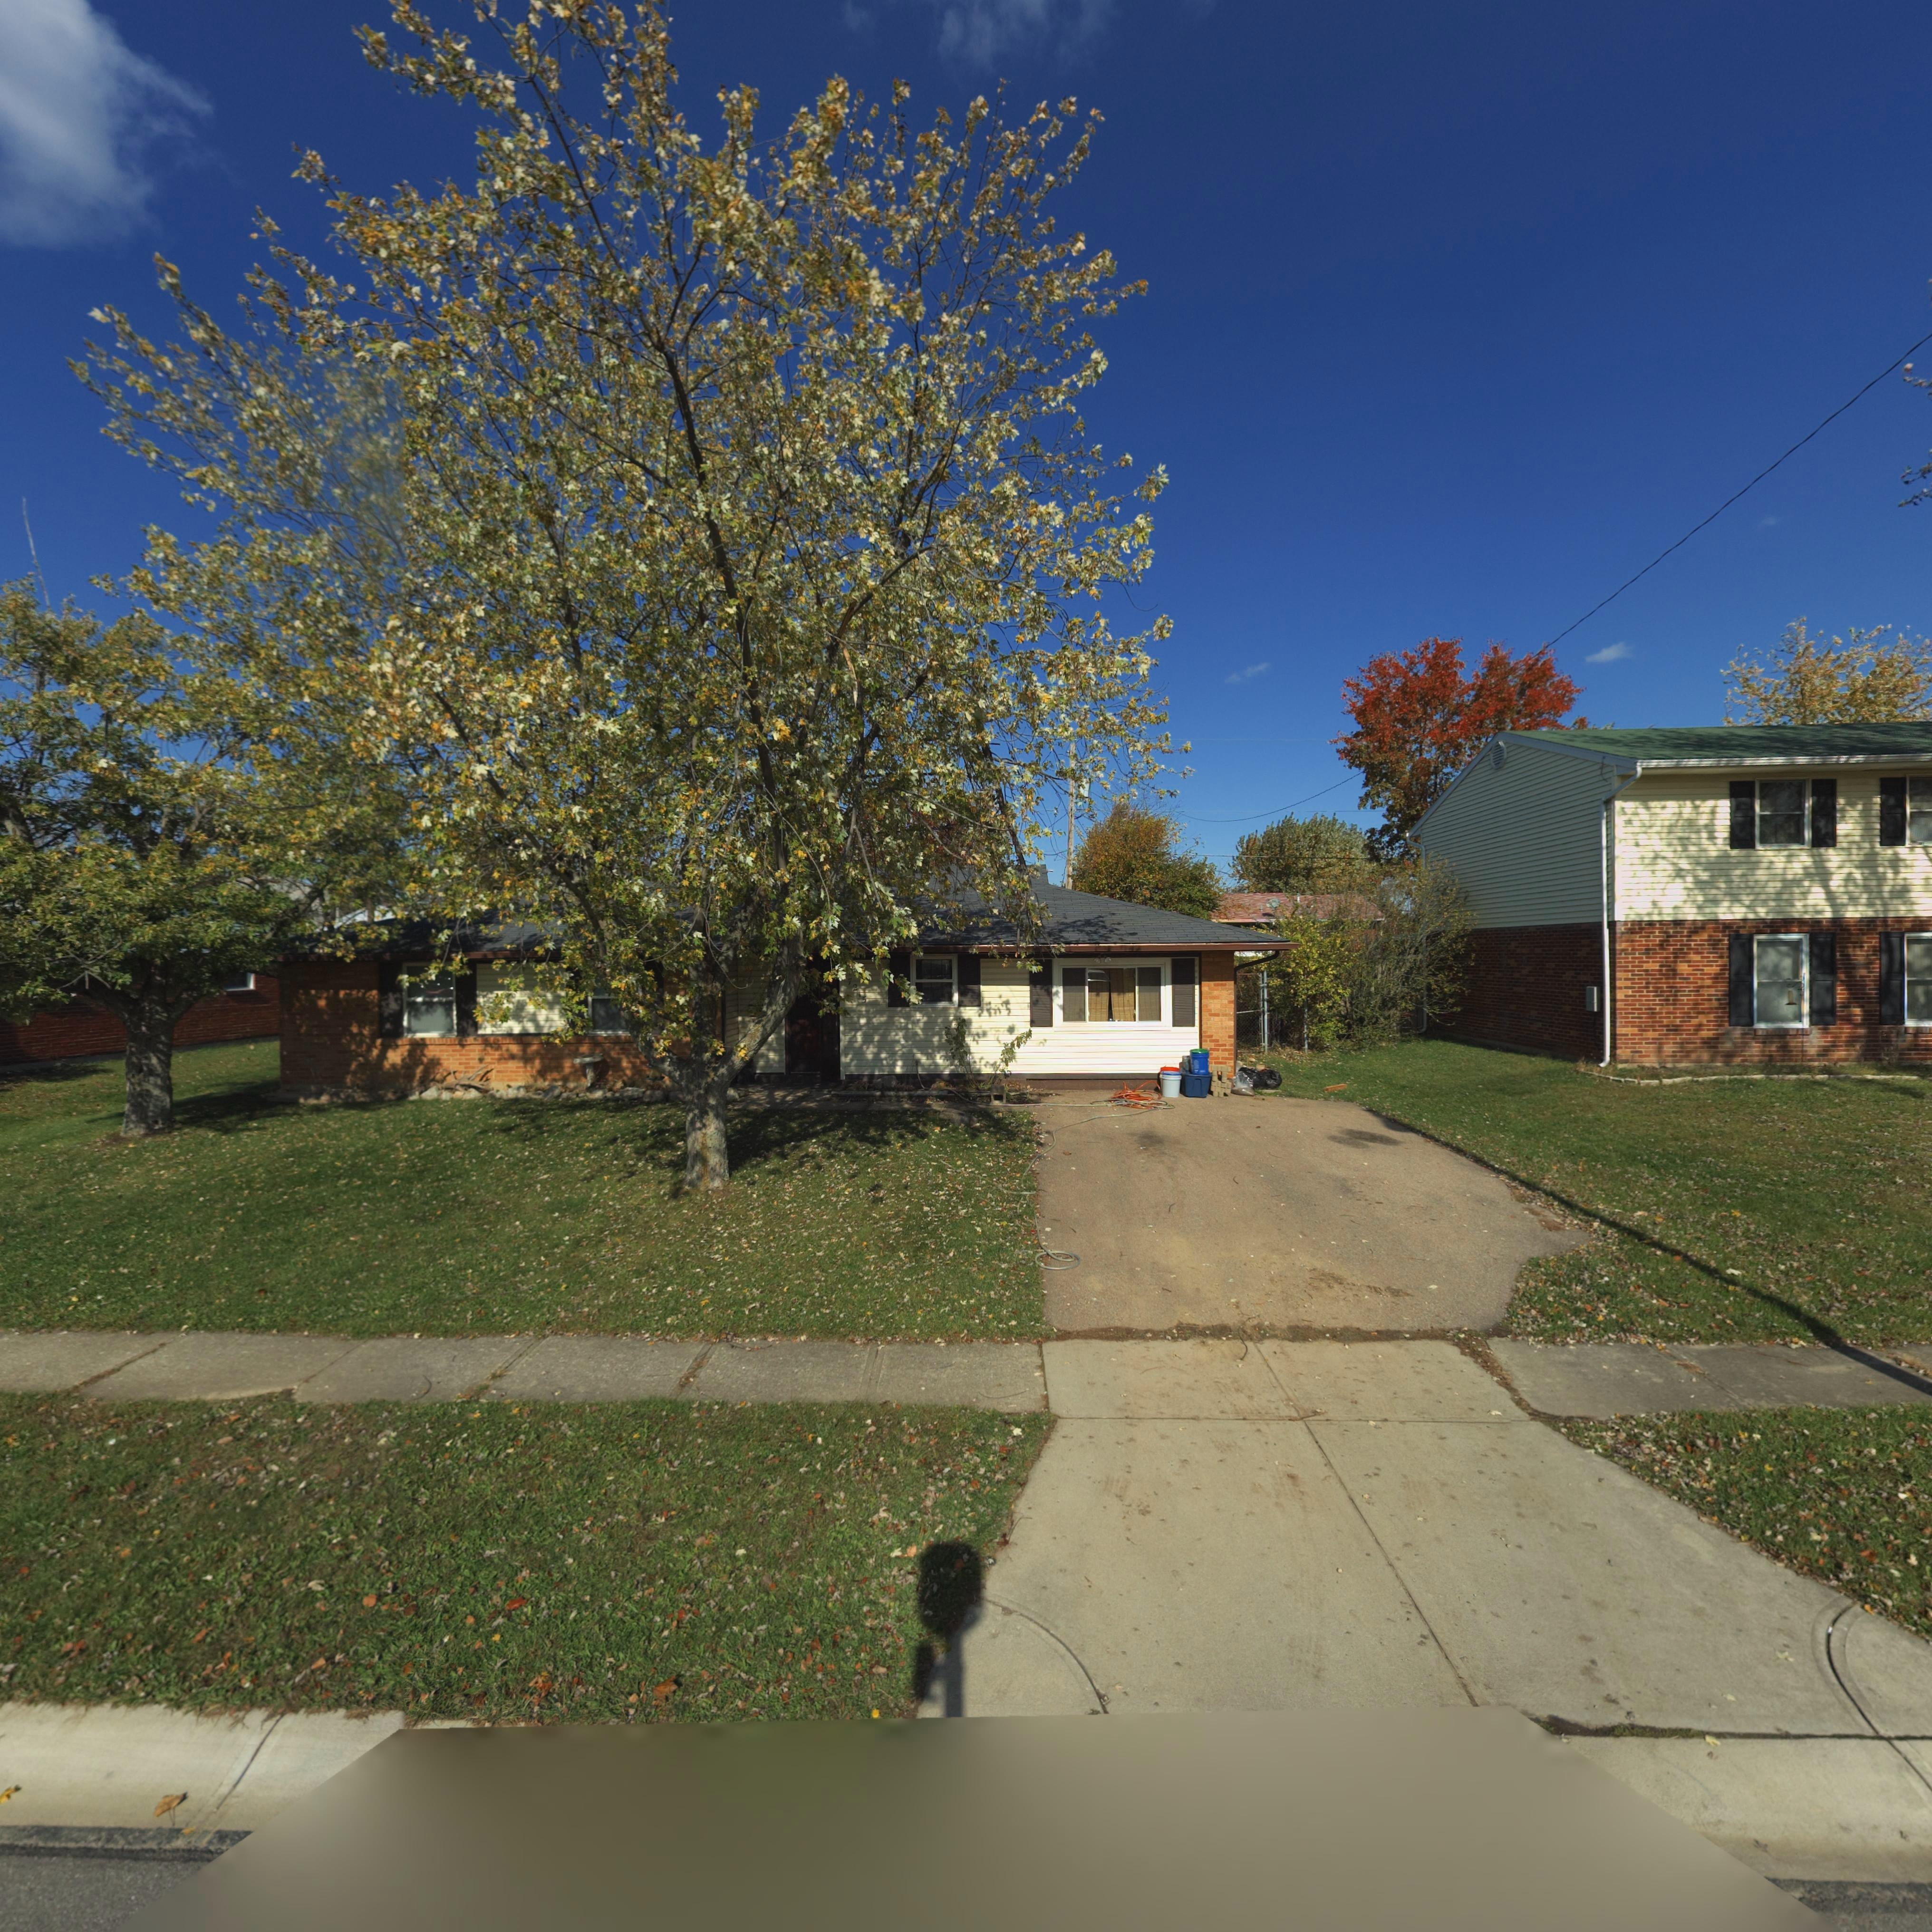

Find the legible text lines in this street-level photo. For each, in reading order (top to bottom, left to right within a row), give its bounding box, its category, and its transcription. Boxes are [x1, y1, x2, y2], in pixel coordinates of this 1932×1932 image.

[847, 977, 868, 1005] StreetNumber: 72*5